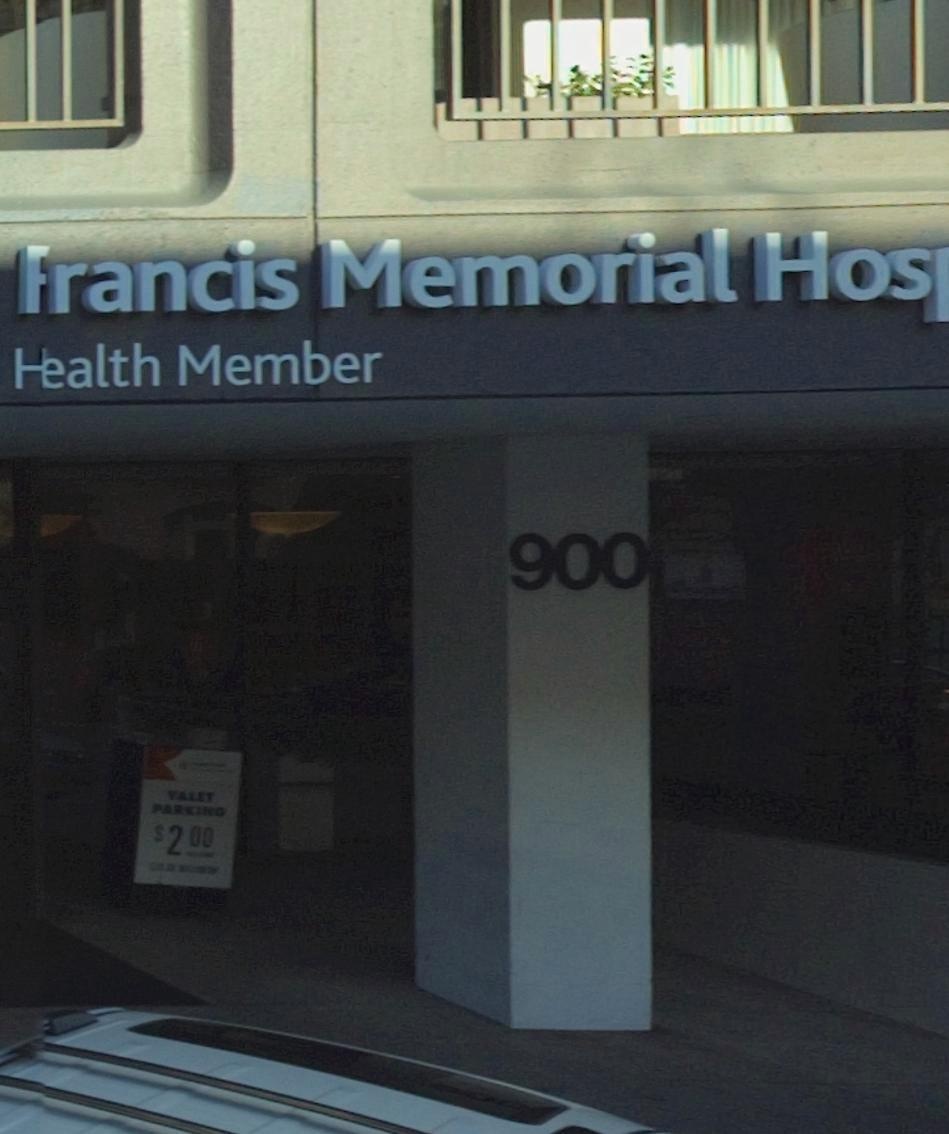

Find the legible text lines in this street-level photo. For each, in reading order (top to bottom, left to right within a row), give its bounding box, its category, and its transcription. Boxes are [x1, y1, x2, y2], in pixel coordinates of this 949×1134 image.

[18, 225, 938, 320] BusinessName: Francis Memorial Hos
[11, 336, 389, 395] None: *alth Member
[506, 531, 651, 592] StreetNumber: 900
[150, 802, 228, 818] None: PARKING
[166, 788, 217, 804] None: VALET
[166, 823, 217, 857] None: 200